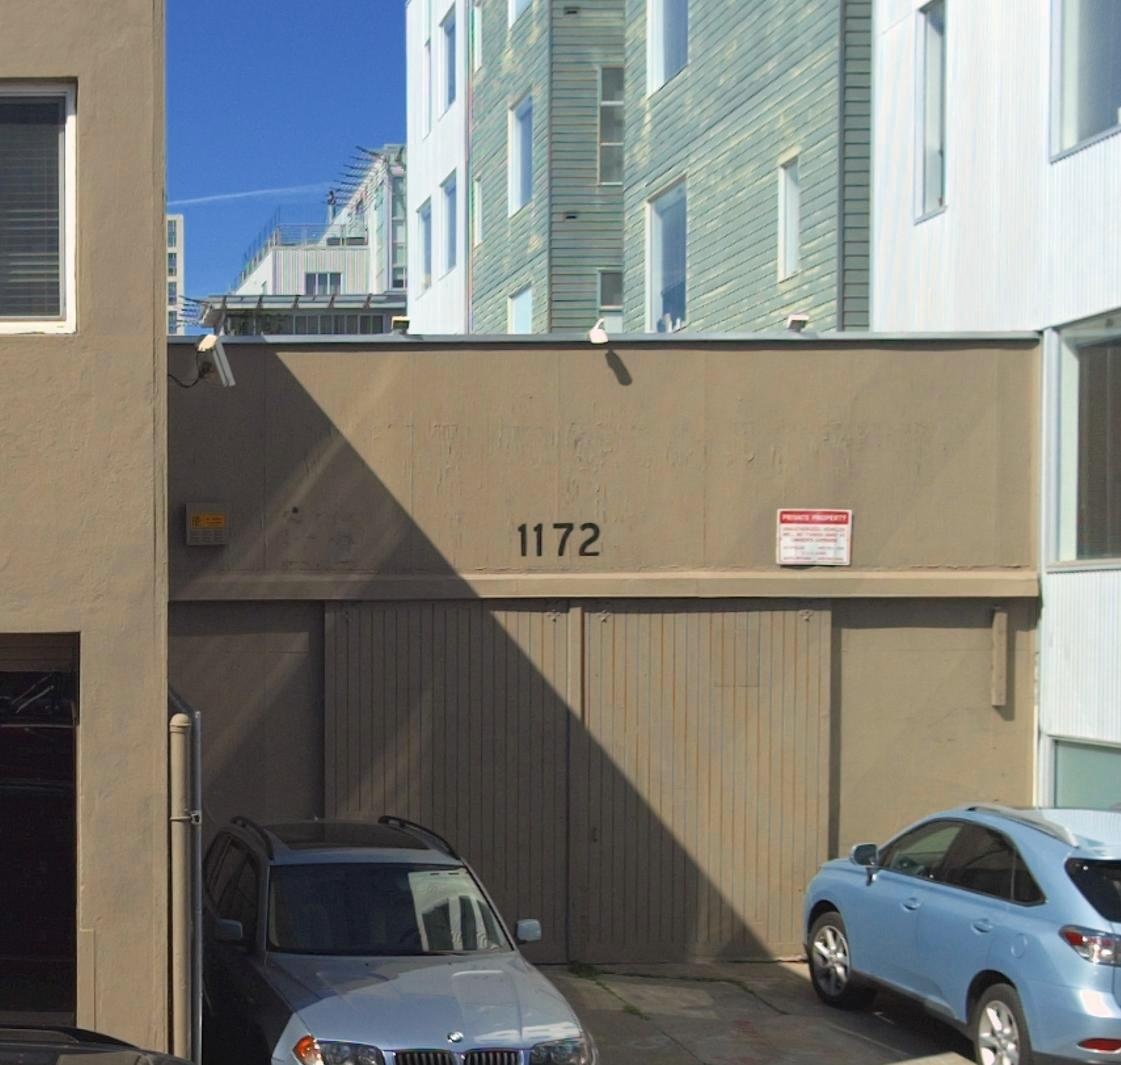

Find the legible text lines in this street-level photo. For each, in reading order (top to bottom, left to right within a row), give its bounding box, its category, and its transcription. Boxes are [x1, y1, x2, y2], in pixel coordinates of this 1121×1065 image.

[511, 519, 605, 561] StreetNumber: 1172